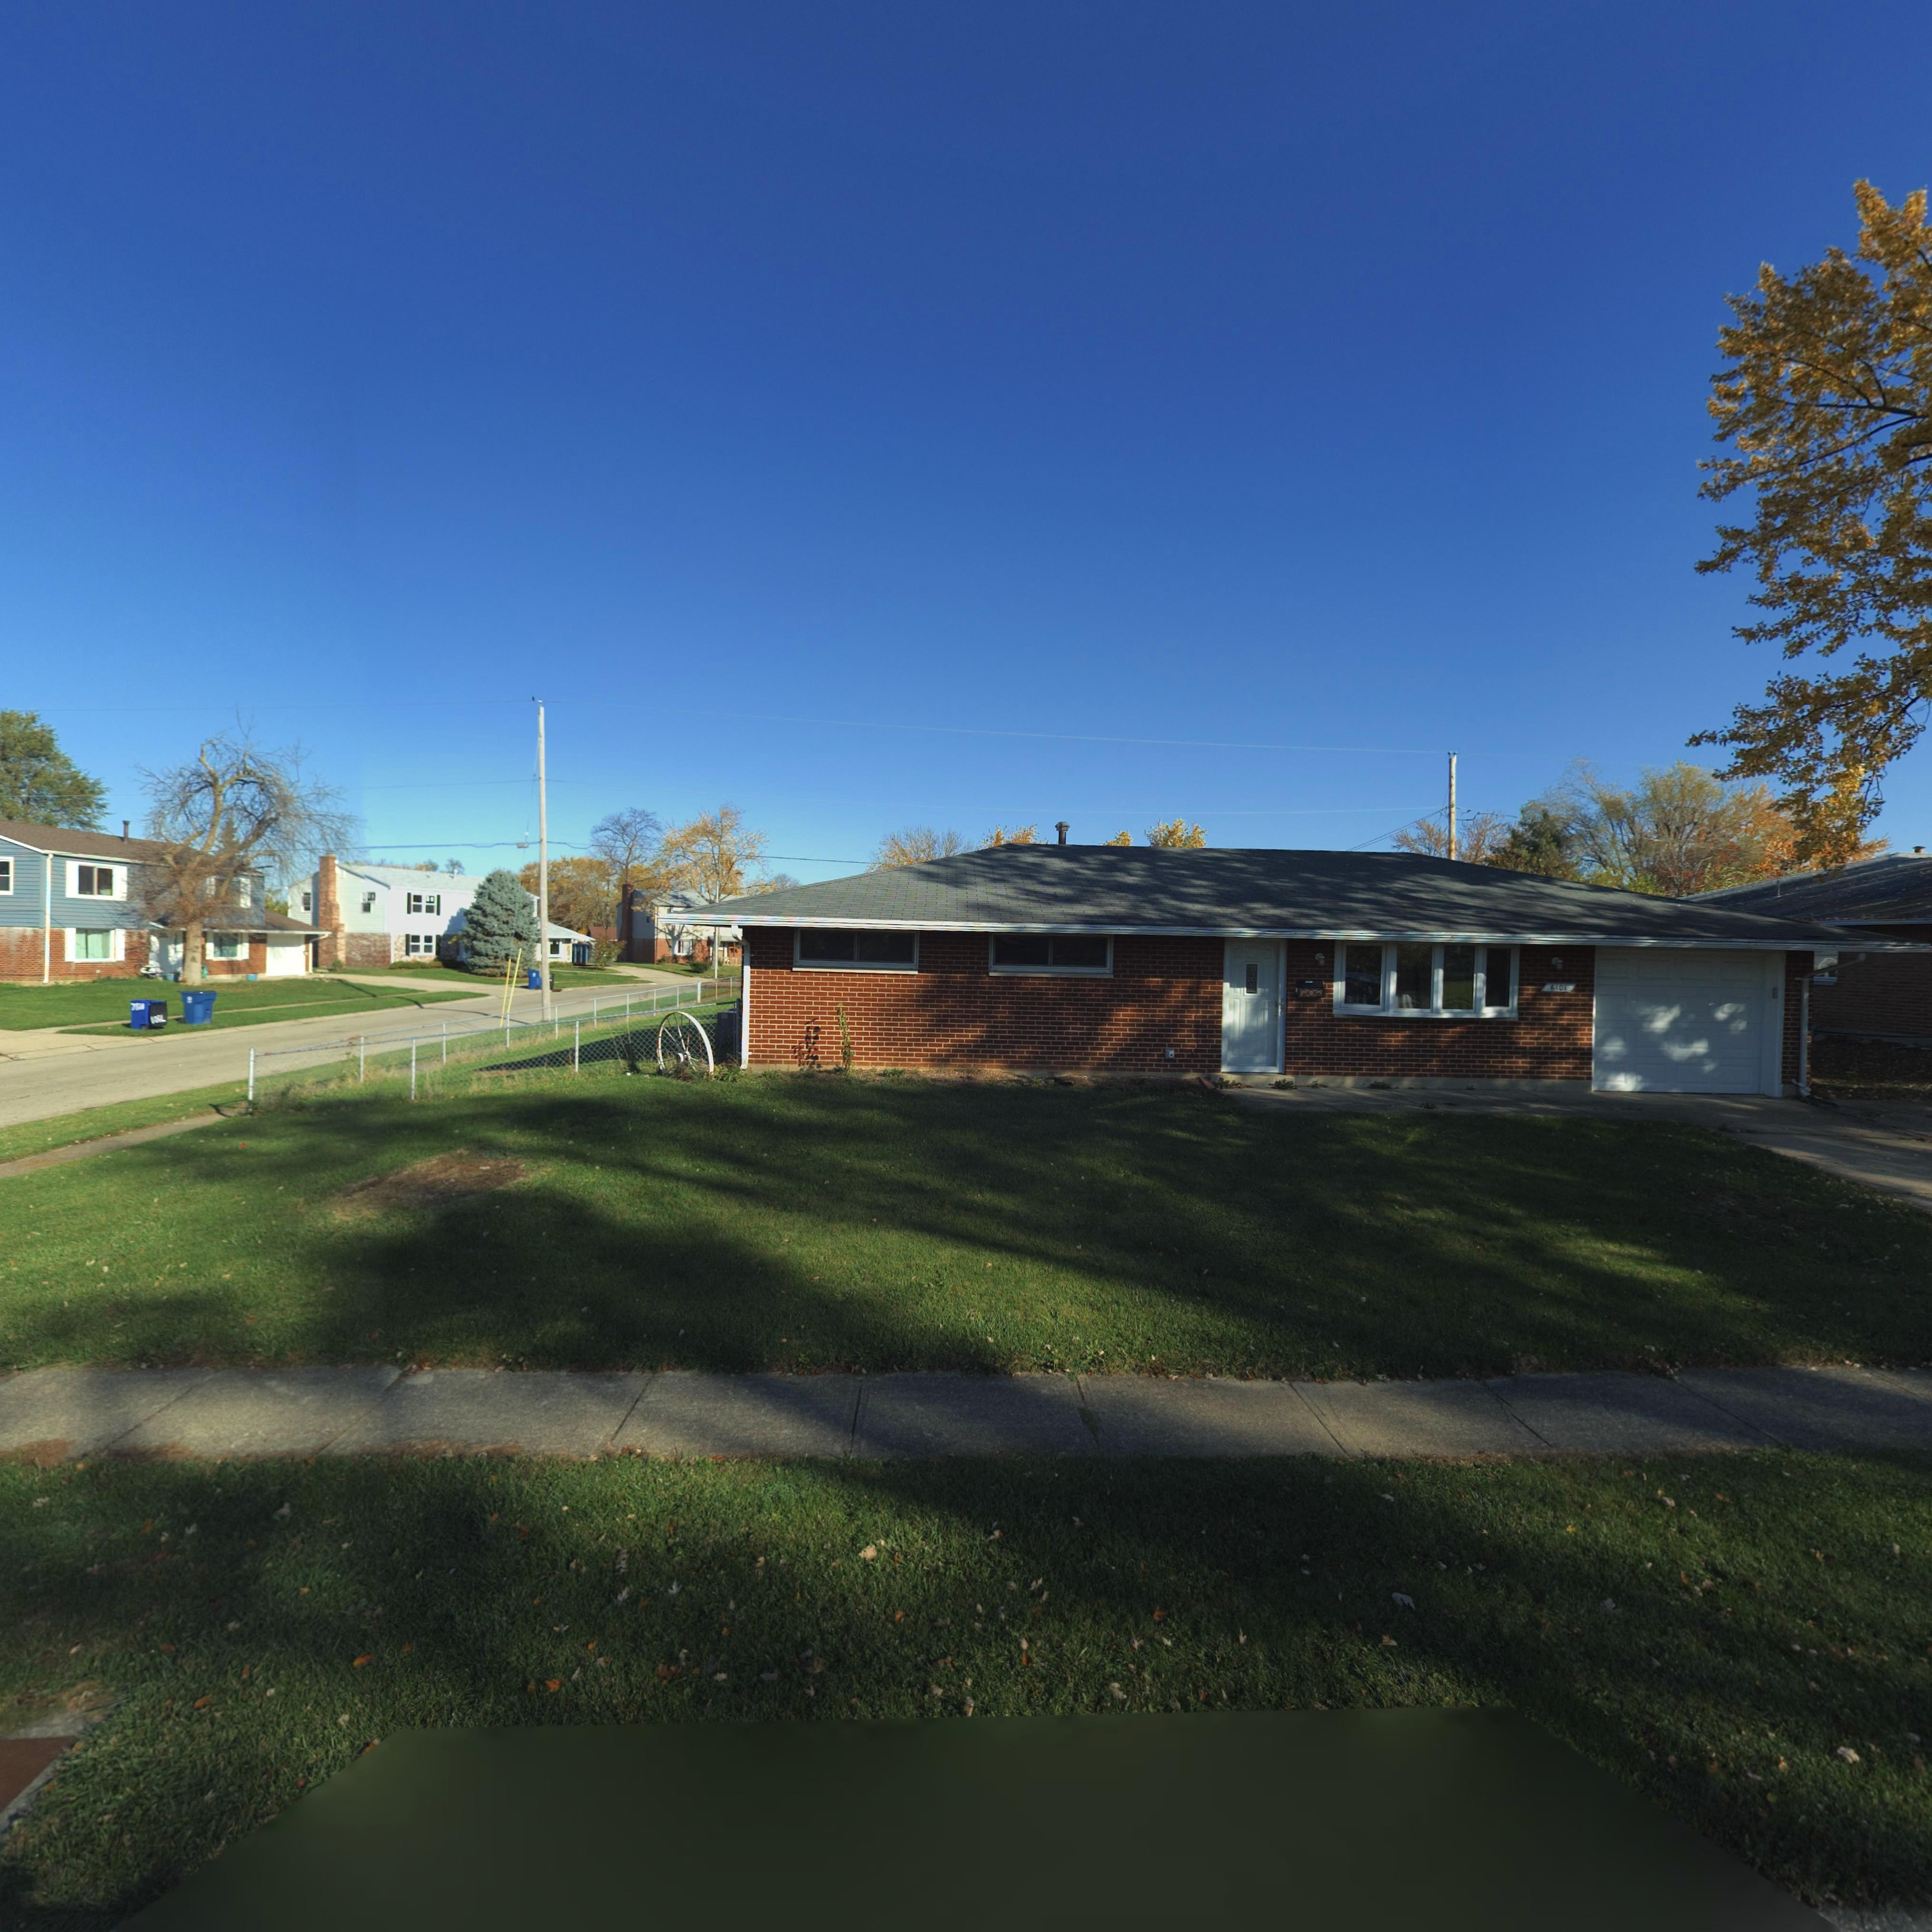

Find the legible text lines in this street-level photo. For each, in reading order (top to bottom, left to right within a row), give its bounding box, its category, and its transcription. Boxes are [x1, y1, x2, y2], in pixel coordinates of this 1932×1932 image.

[1550, 984, 1568, 992] StreetNumber: 6101
[130, 1002, 145, 1011] StreetNumber: 7801
[149, 1013, 167, 1025] StreetNumber: 10**